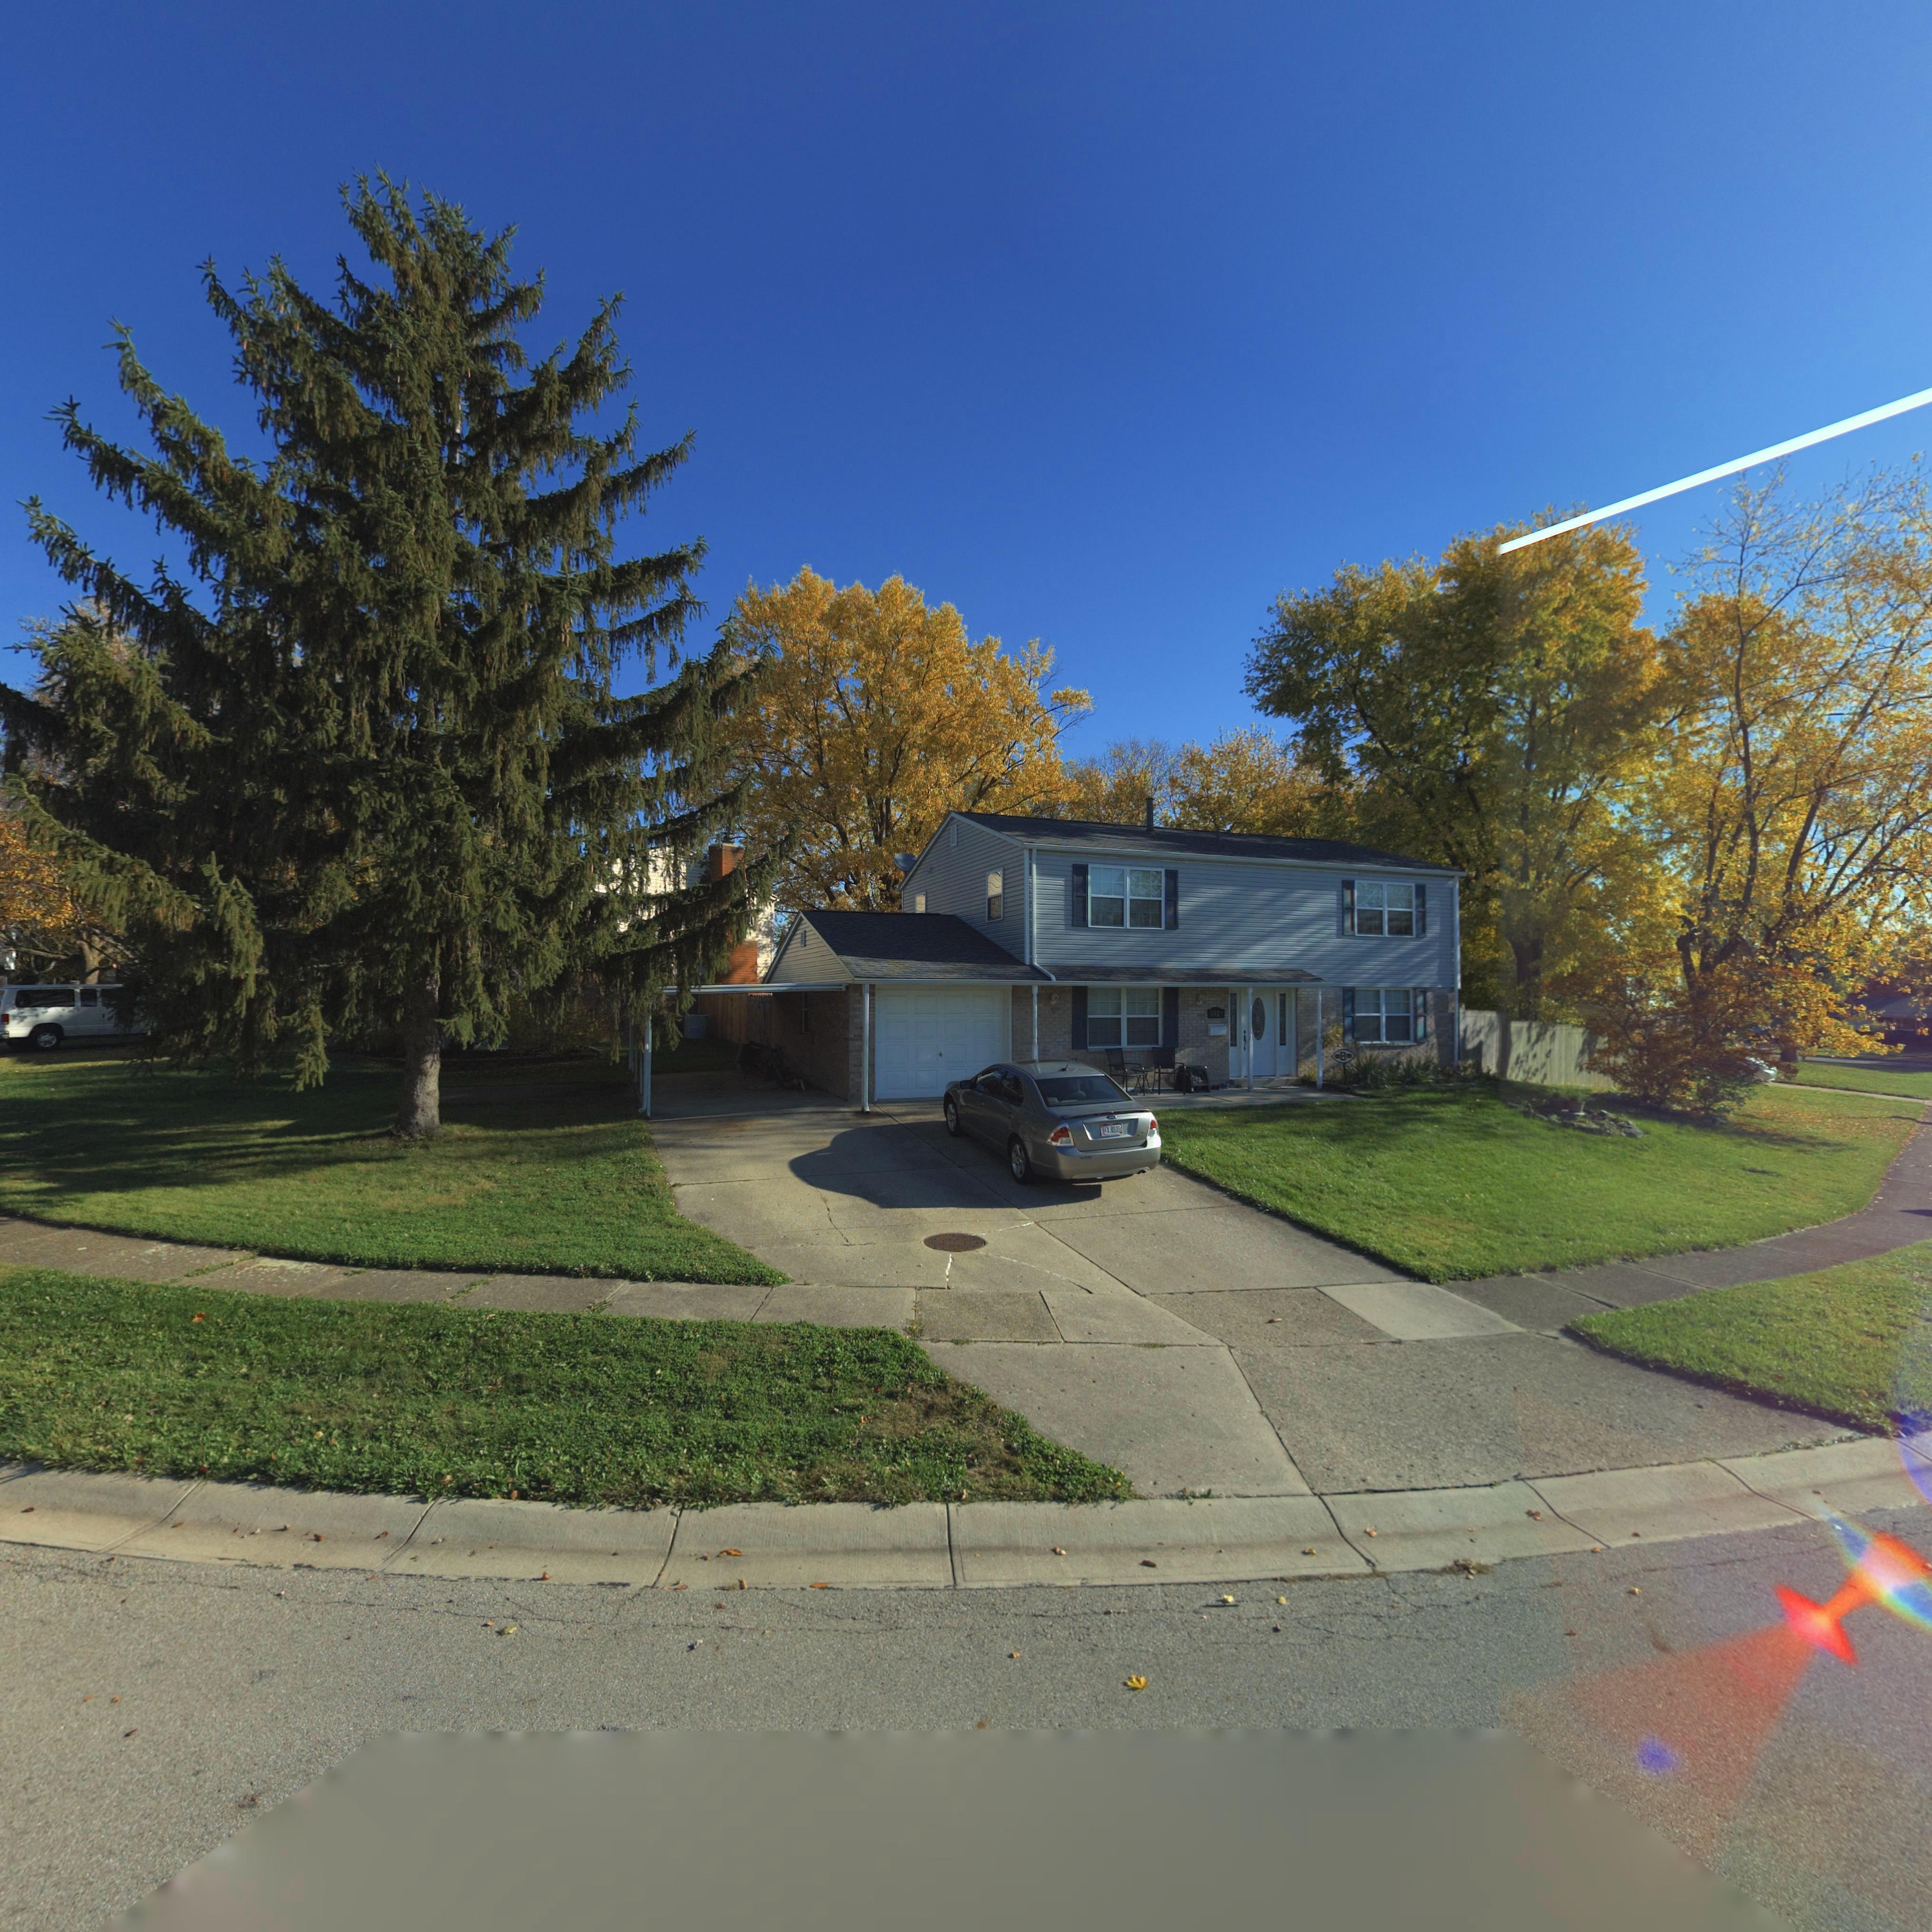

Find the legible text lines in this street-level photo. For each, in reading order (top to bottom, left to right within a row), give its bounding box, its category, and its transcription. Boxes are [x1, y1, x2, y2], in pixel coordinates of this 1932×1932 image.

[1210, 1010, 1224, 1018] StreetNumber: 592*